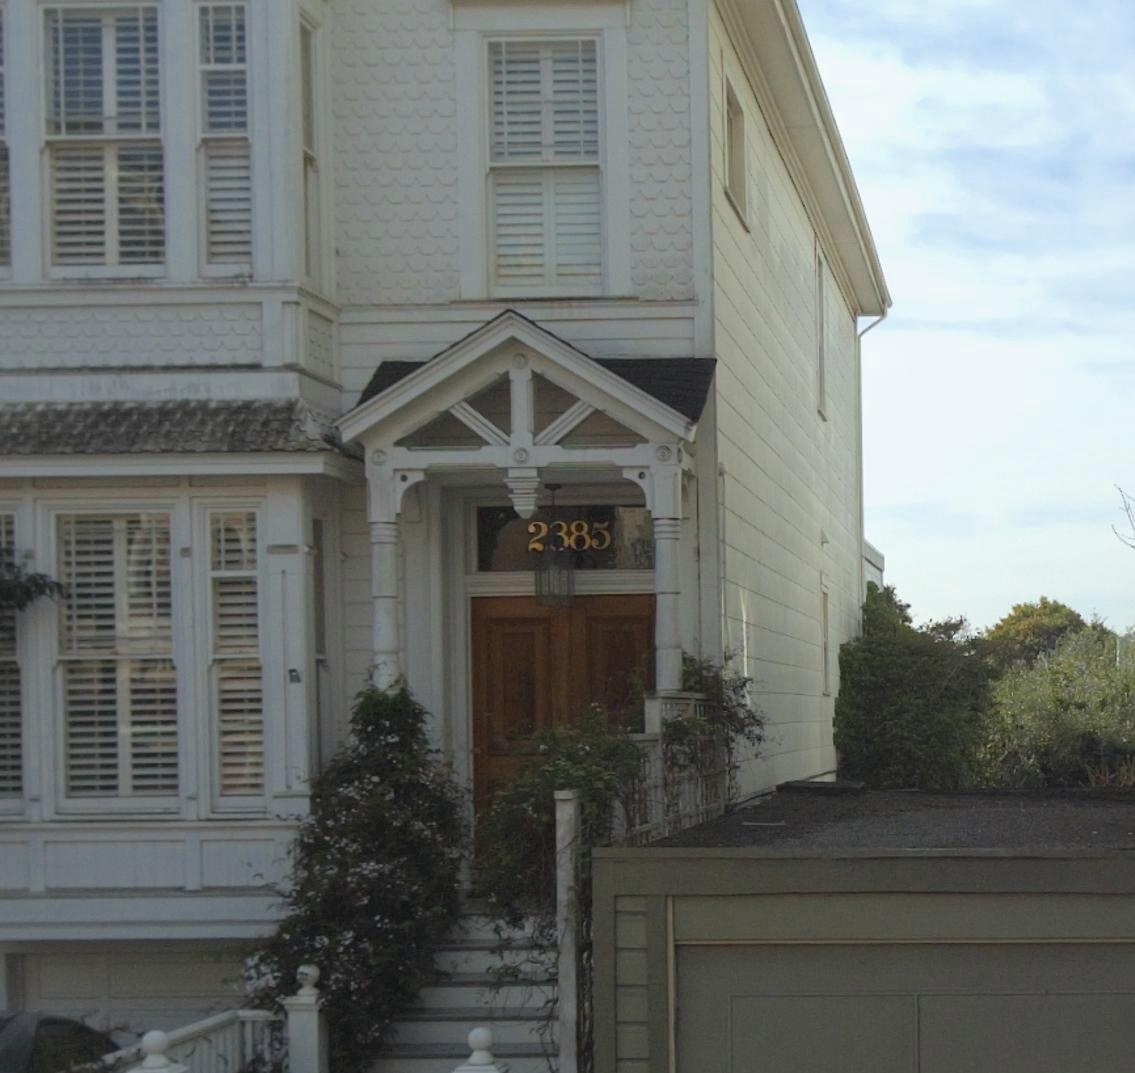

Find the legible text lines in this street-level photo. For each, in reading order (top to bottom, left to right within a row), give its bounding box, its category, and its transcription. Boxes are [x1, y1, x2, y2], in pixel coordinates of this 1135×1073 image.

[525, 518, 613, 554] StreetNumber: 2*85